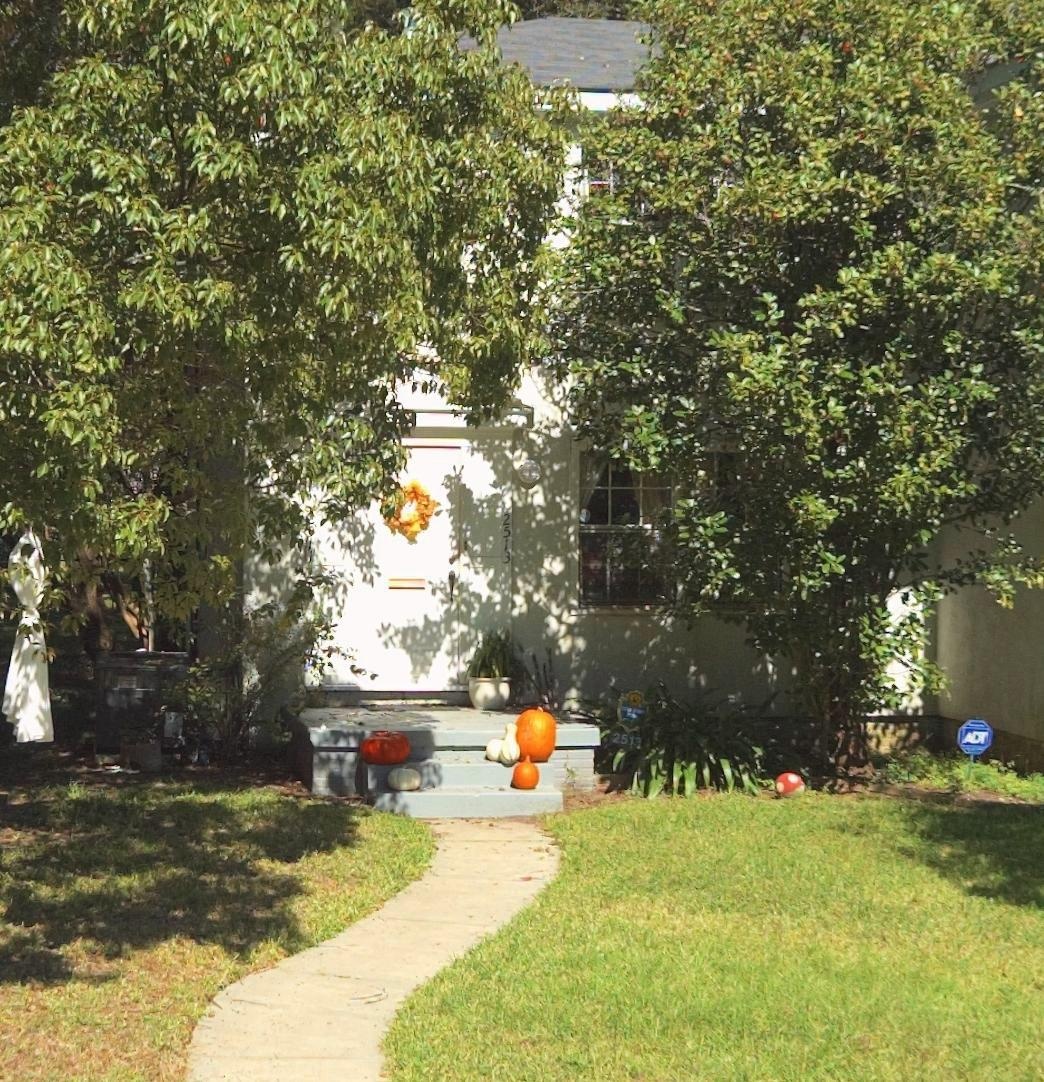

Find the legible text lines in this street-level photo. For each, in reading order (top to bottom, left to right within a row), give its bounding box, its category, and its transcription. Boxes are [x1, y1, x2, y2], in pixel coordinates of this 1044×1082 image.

[500, 511, 512, 567] StreetNumber: 2513
[609, 729, 637, 749] StreetNumber: 25*
[958, 729, 990, 747] None: ADT